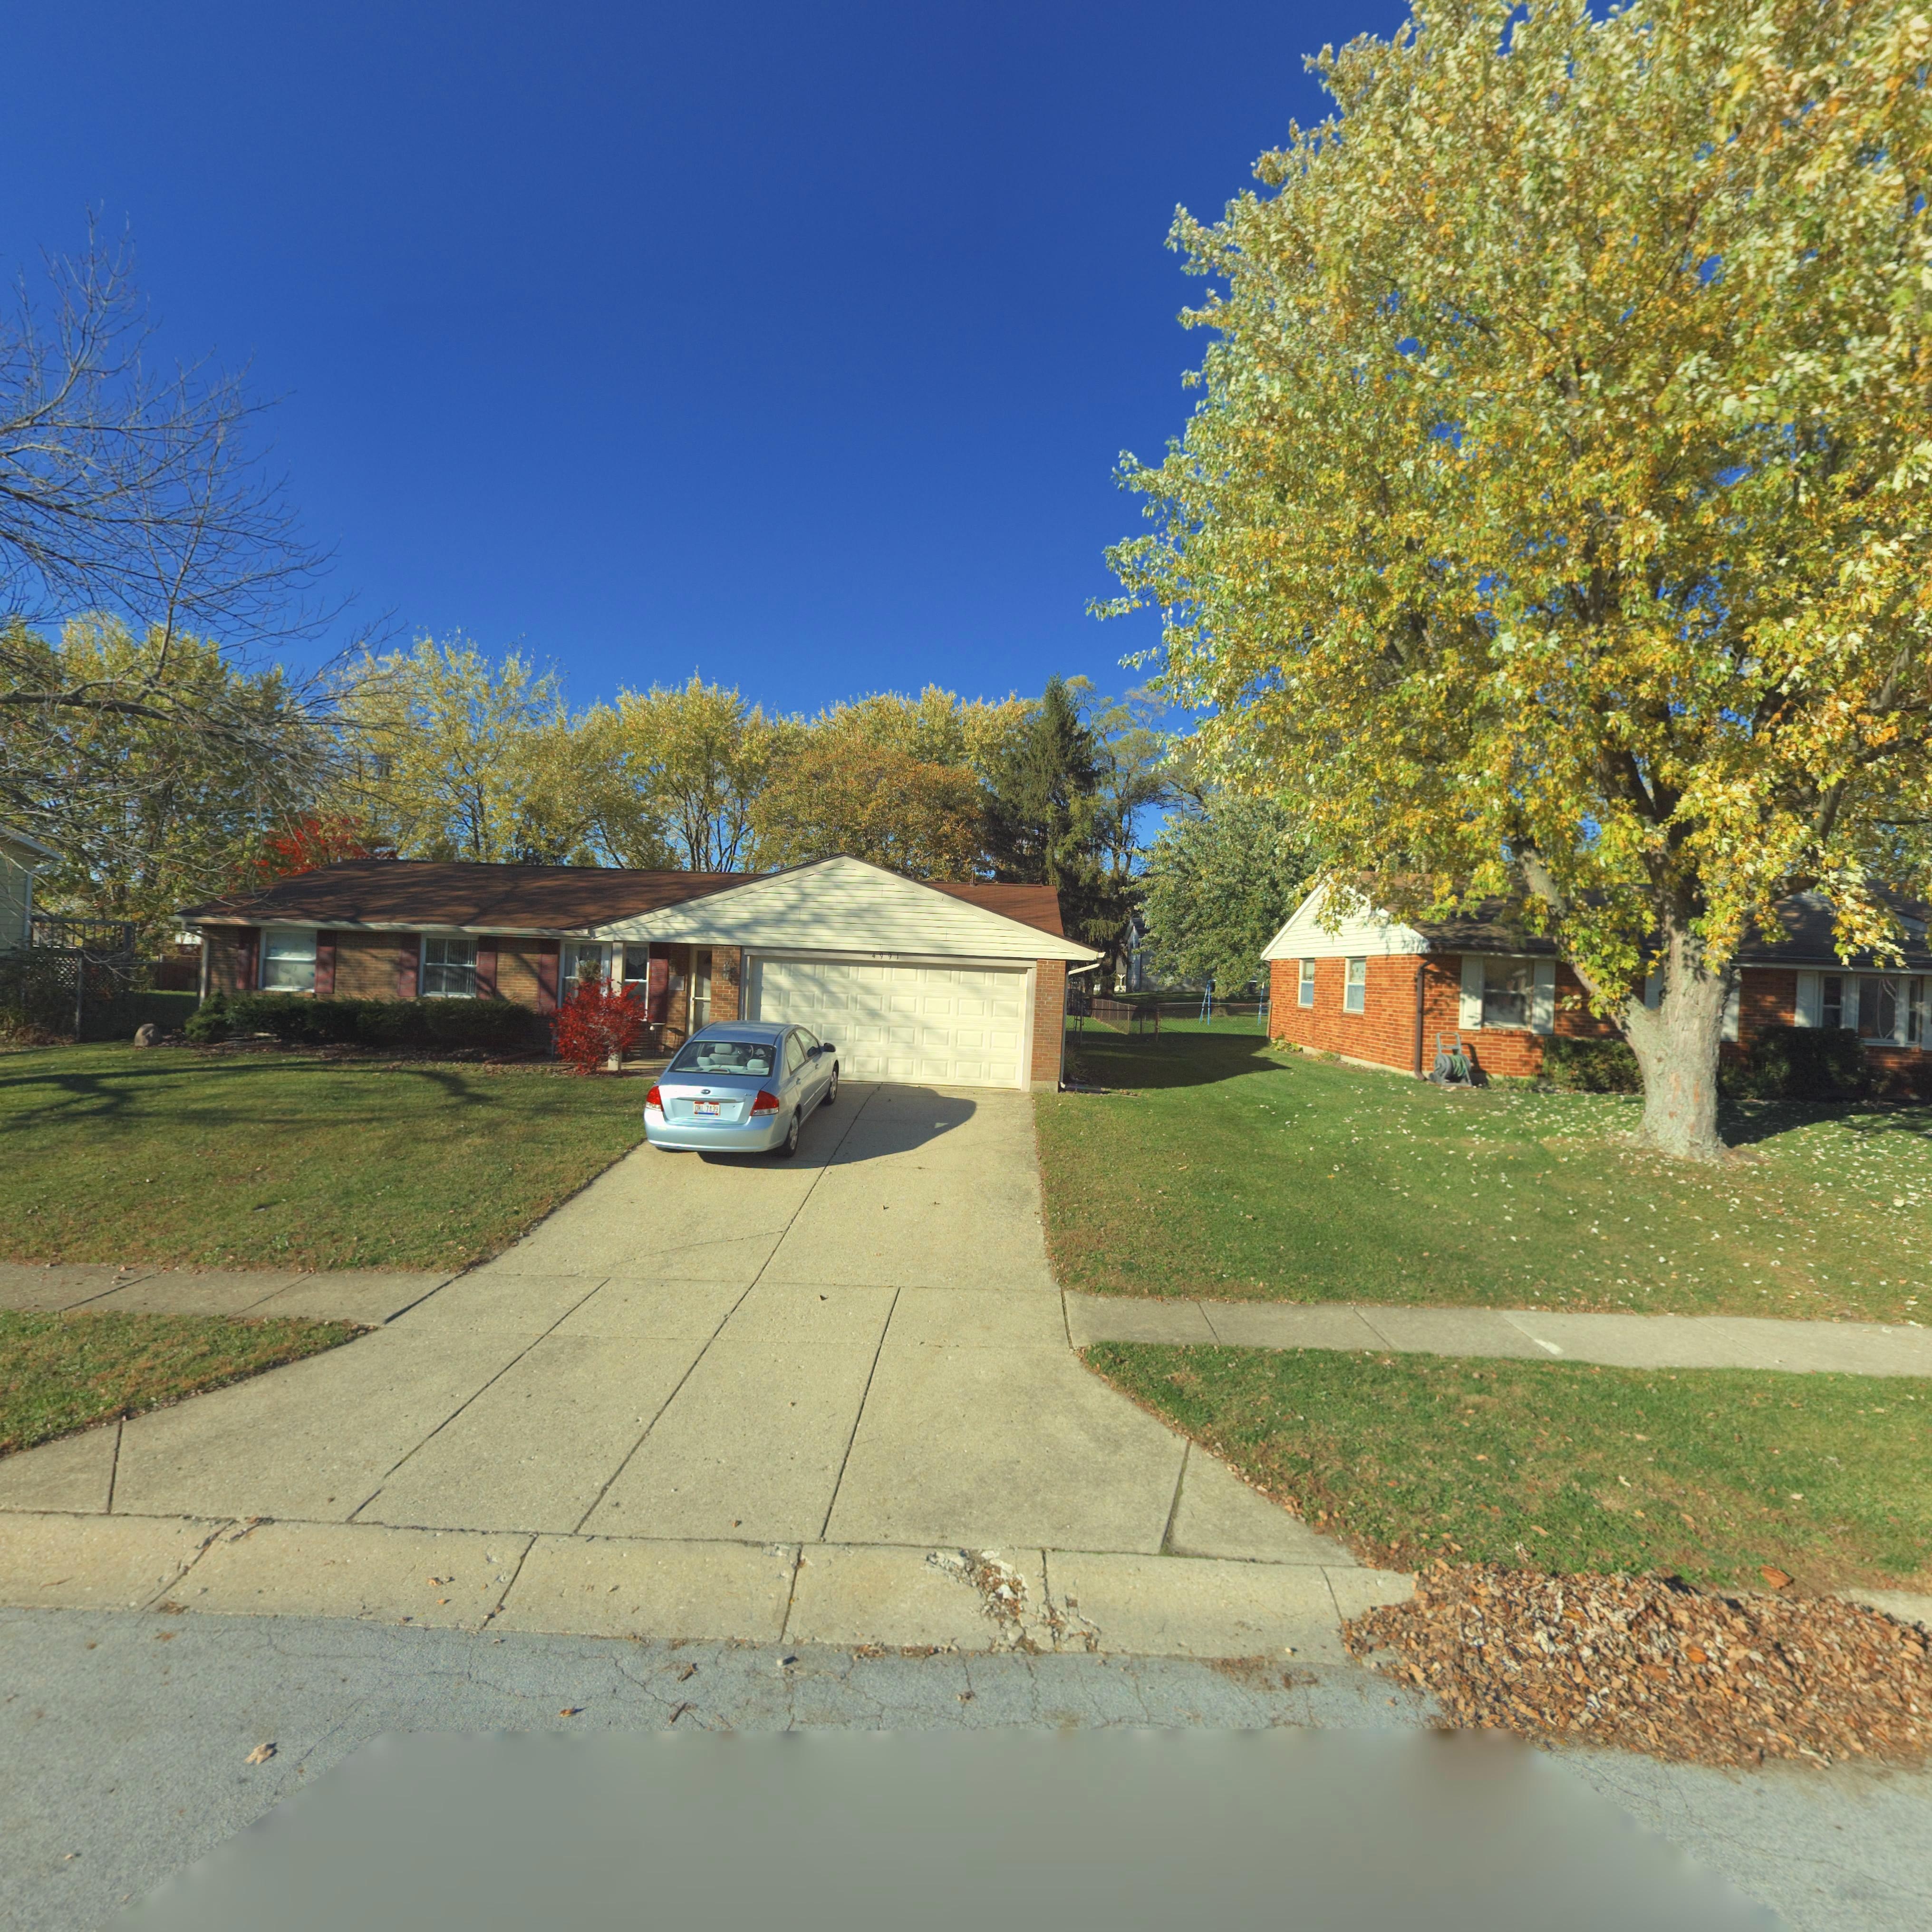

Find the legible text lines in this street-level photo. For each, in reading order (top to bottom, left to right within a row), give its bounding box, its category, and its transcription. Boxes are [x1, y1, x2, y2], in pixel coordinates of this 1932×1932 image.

[870, 951, 900, 961] StreetNumber: 4991